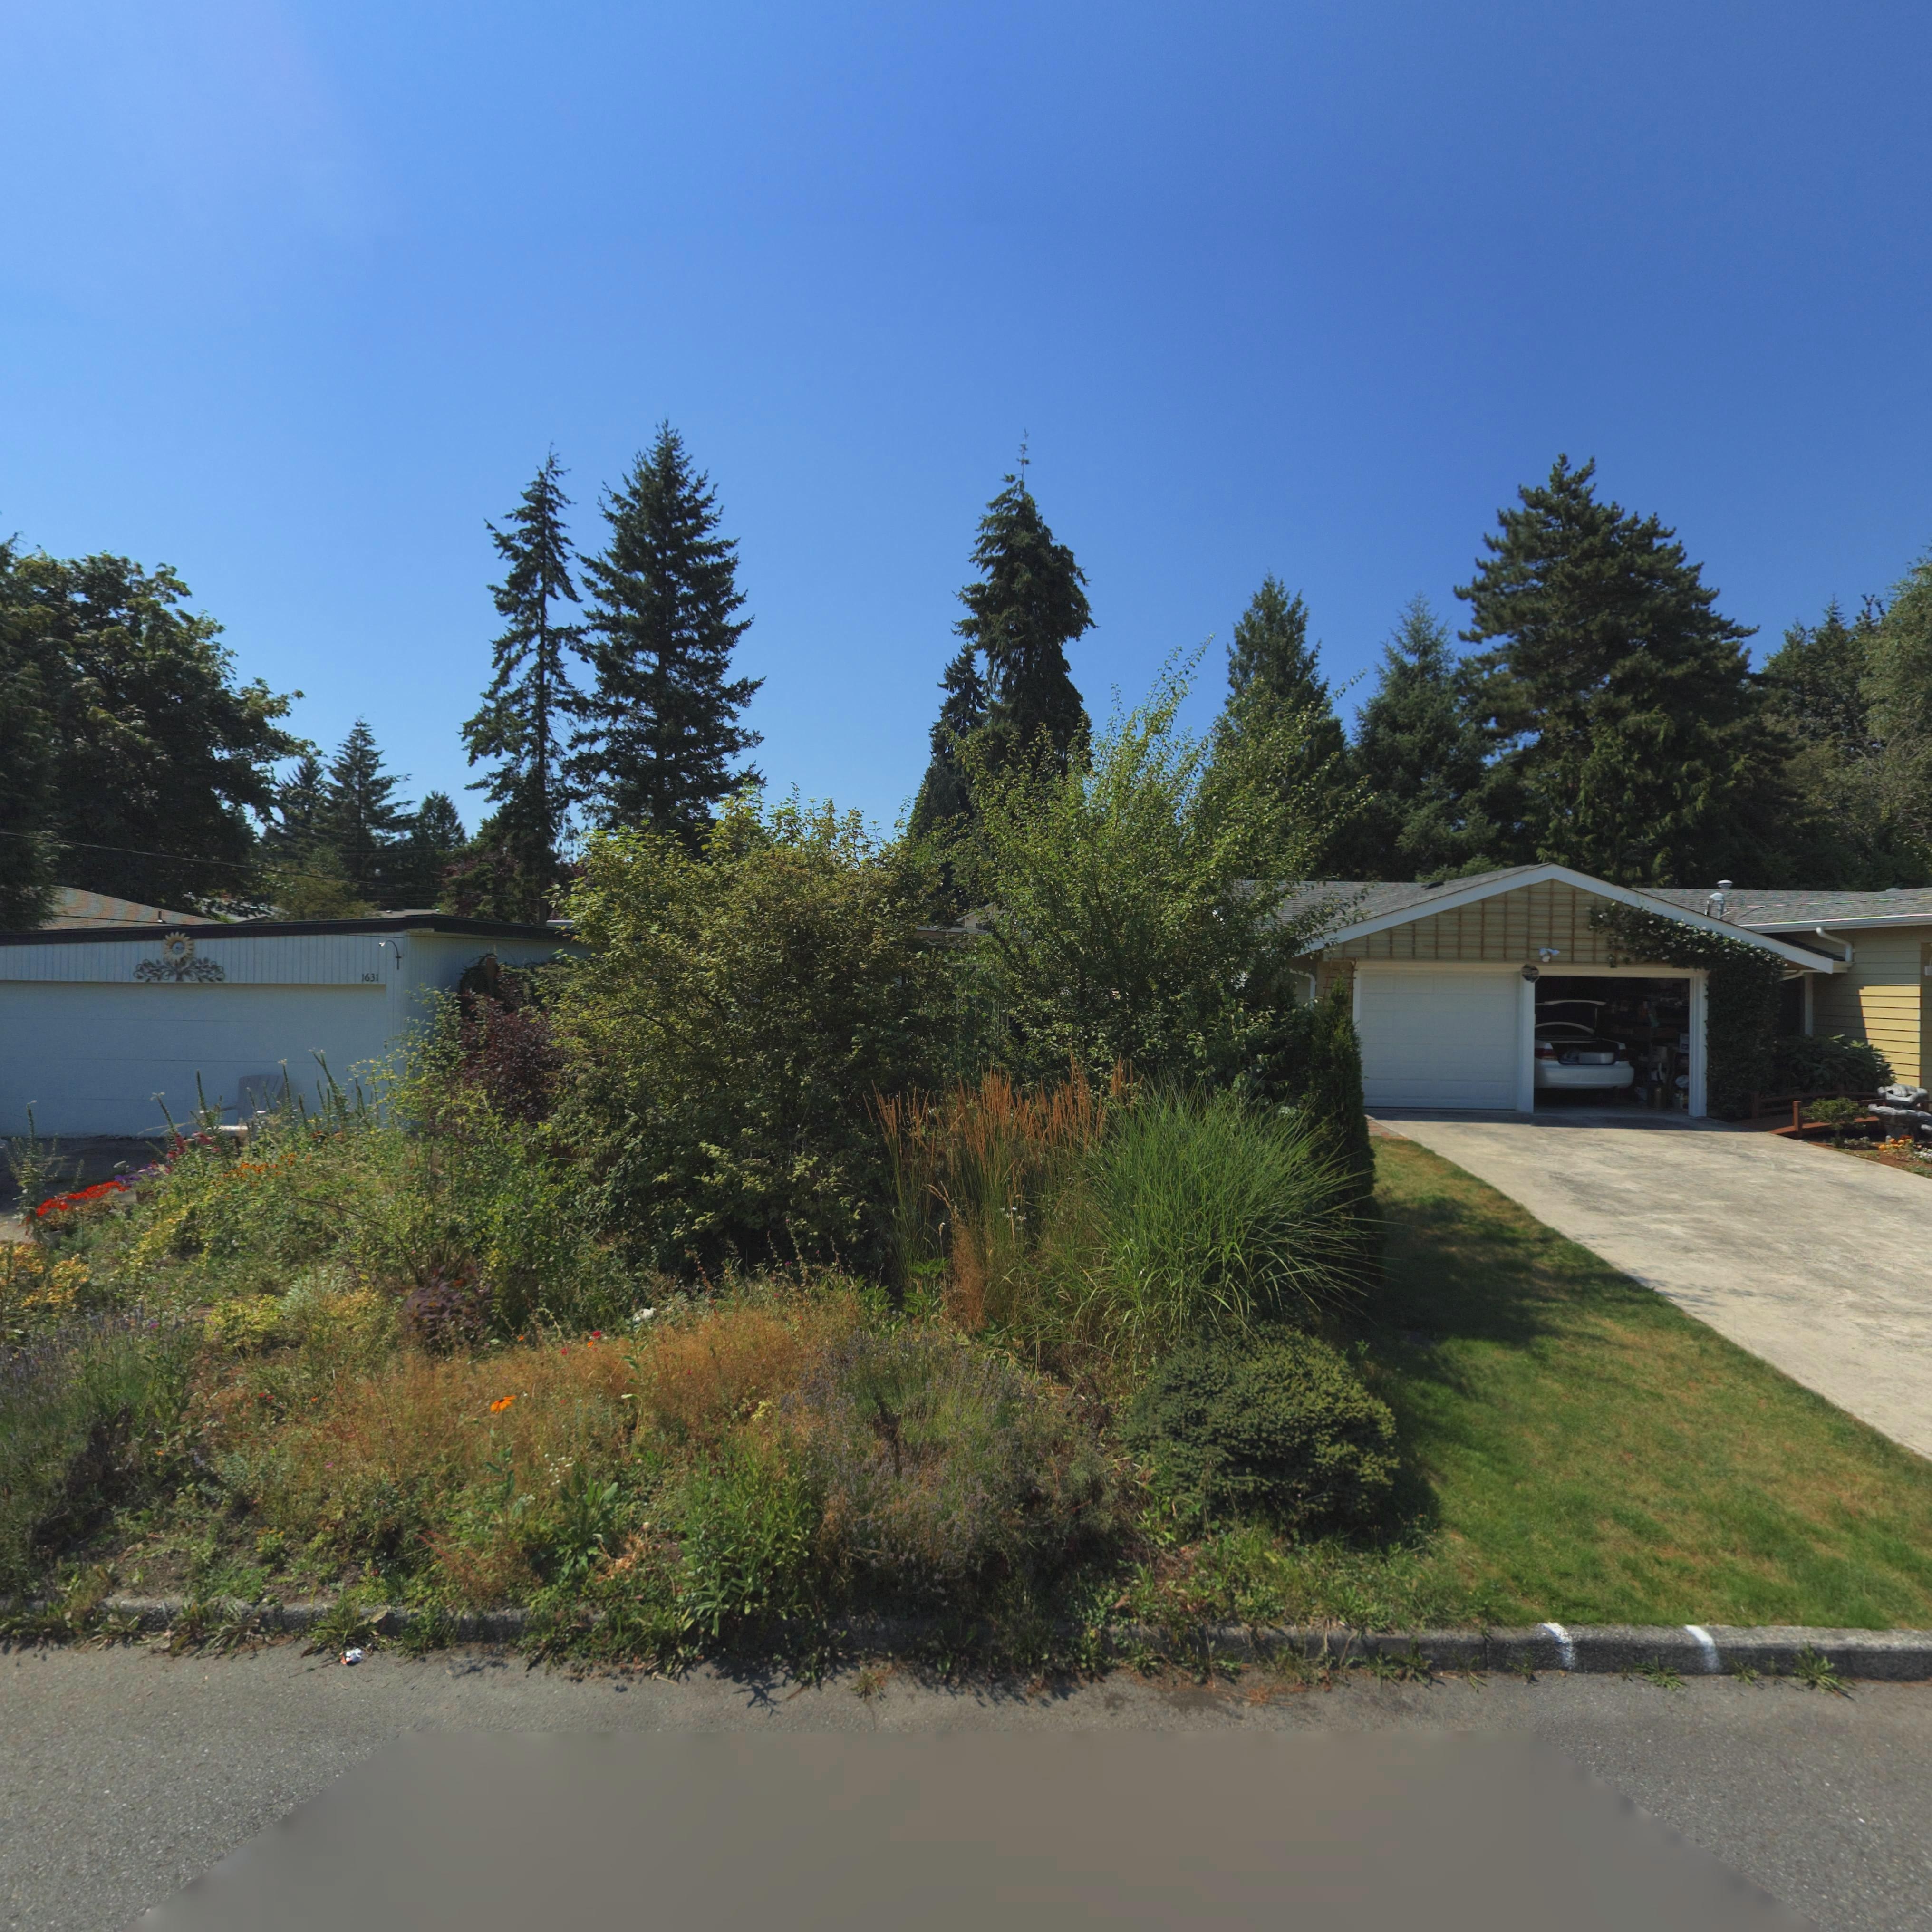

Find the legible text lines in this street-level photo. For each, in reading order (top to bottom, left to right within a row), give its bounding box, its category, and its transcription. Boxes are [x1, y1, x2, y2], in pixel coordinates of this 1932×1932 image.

[362, 973, 379, 984] StreetNumber: 1631